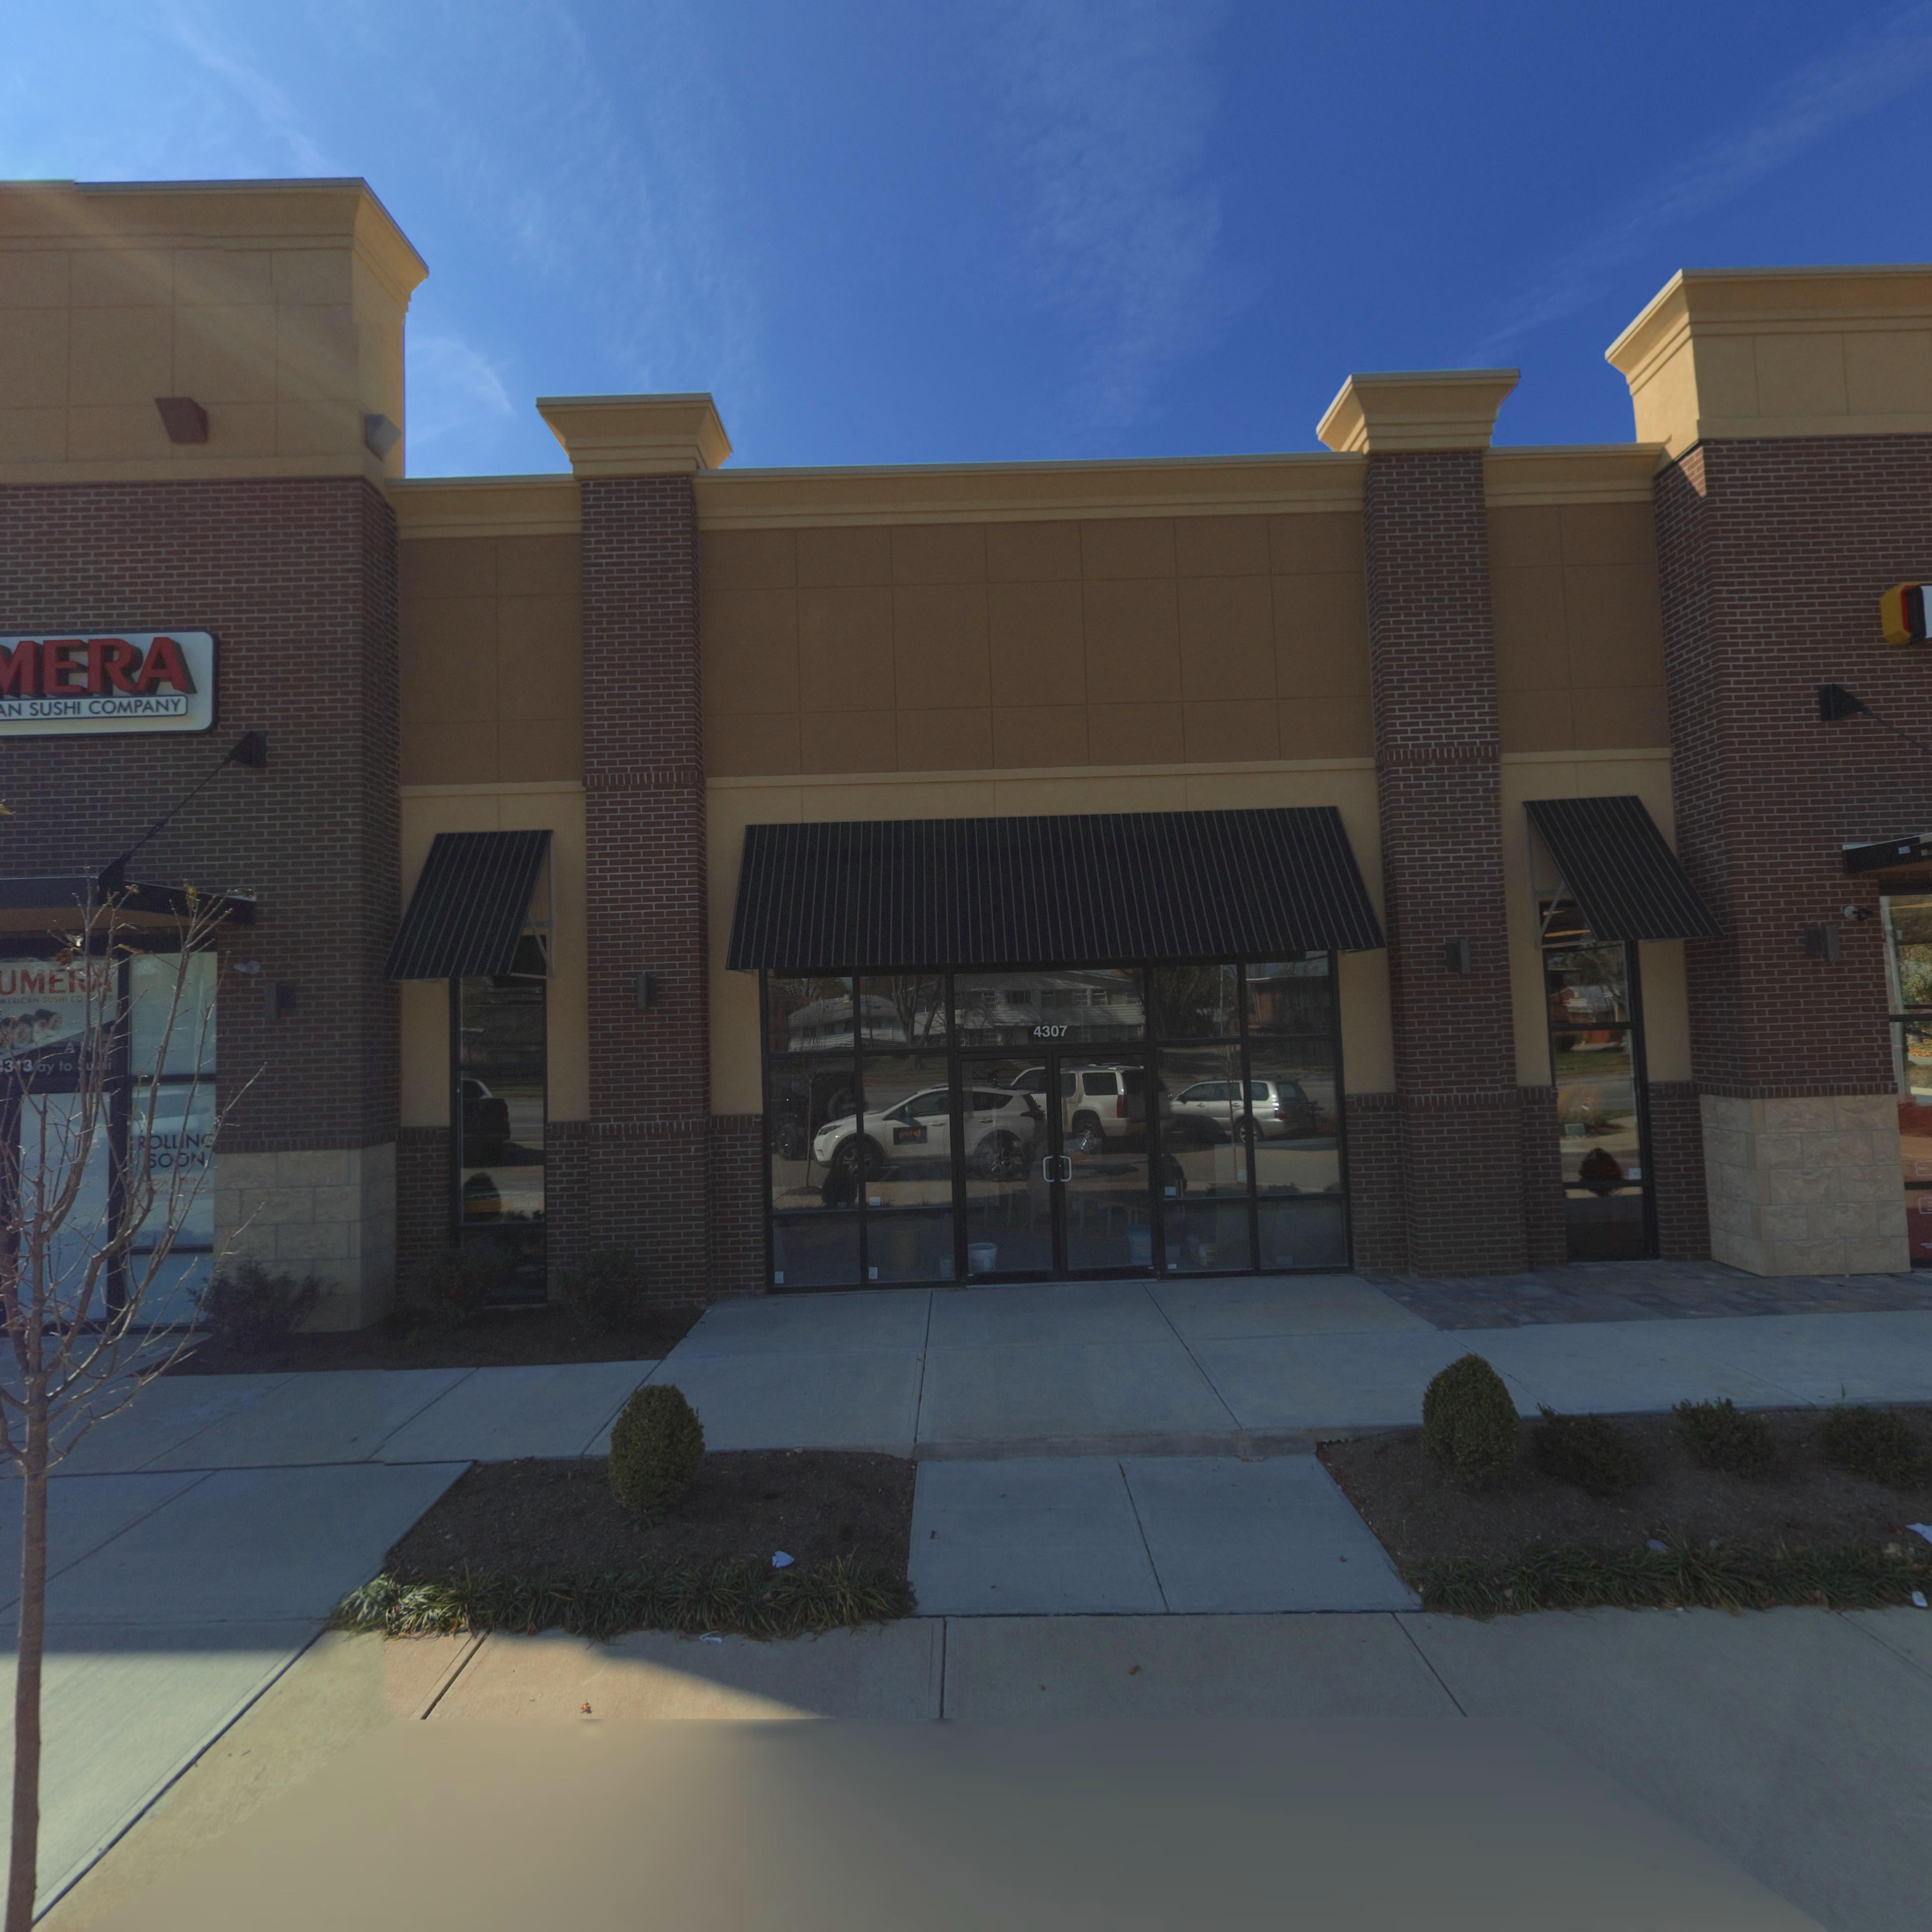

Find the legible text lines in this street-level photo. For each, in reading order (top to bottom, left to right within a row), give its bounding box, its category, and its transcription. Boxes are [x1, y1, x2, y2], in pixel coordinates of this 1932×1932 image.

[41, 635, 192, 696] BusinessName: ERA
[5, 696, 183, 718] BusinessName: N SUSHI COMPANY
[19, 966, 69, 998] BusinessName: ME
[7, 995, 85, 1006] BusinessName: ERICAN SUSHI CO
[1032, 1024, 1069, 1039] StreetNumber: 4307
[898, 1129, 913, 1140] None: **i*